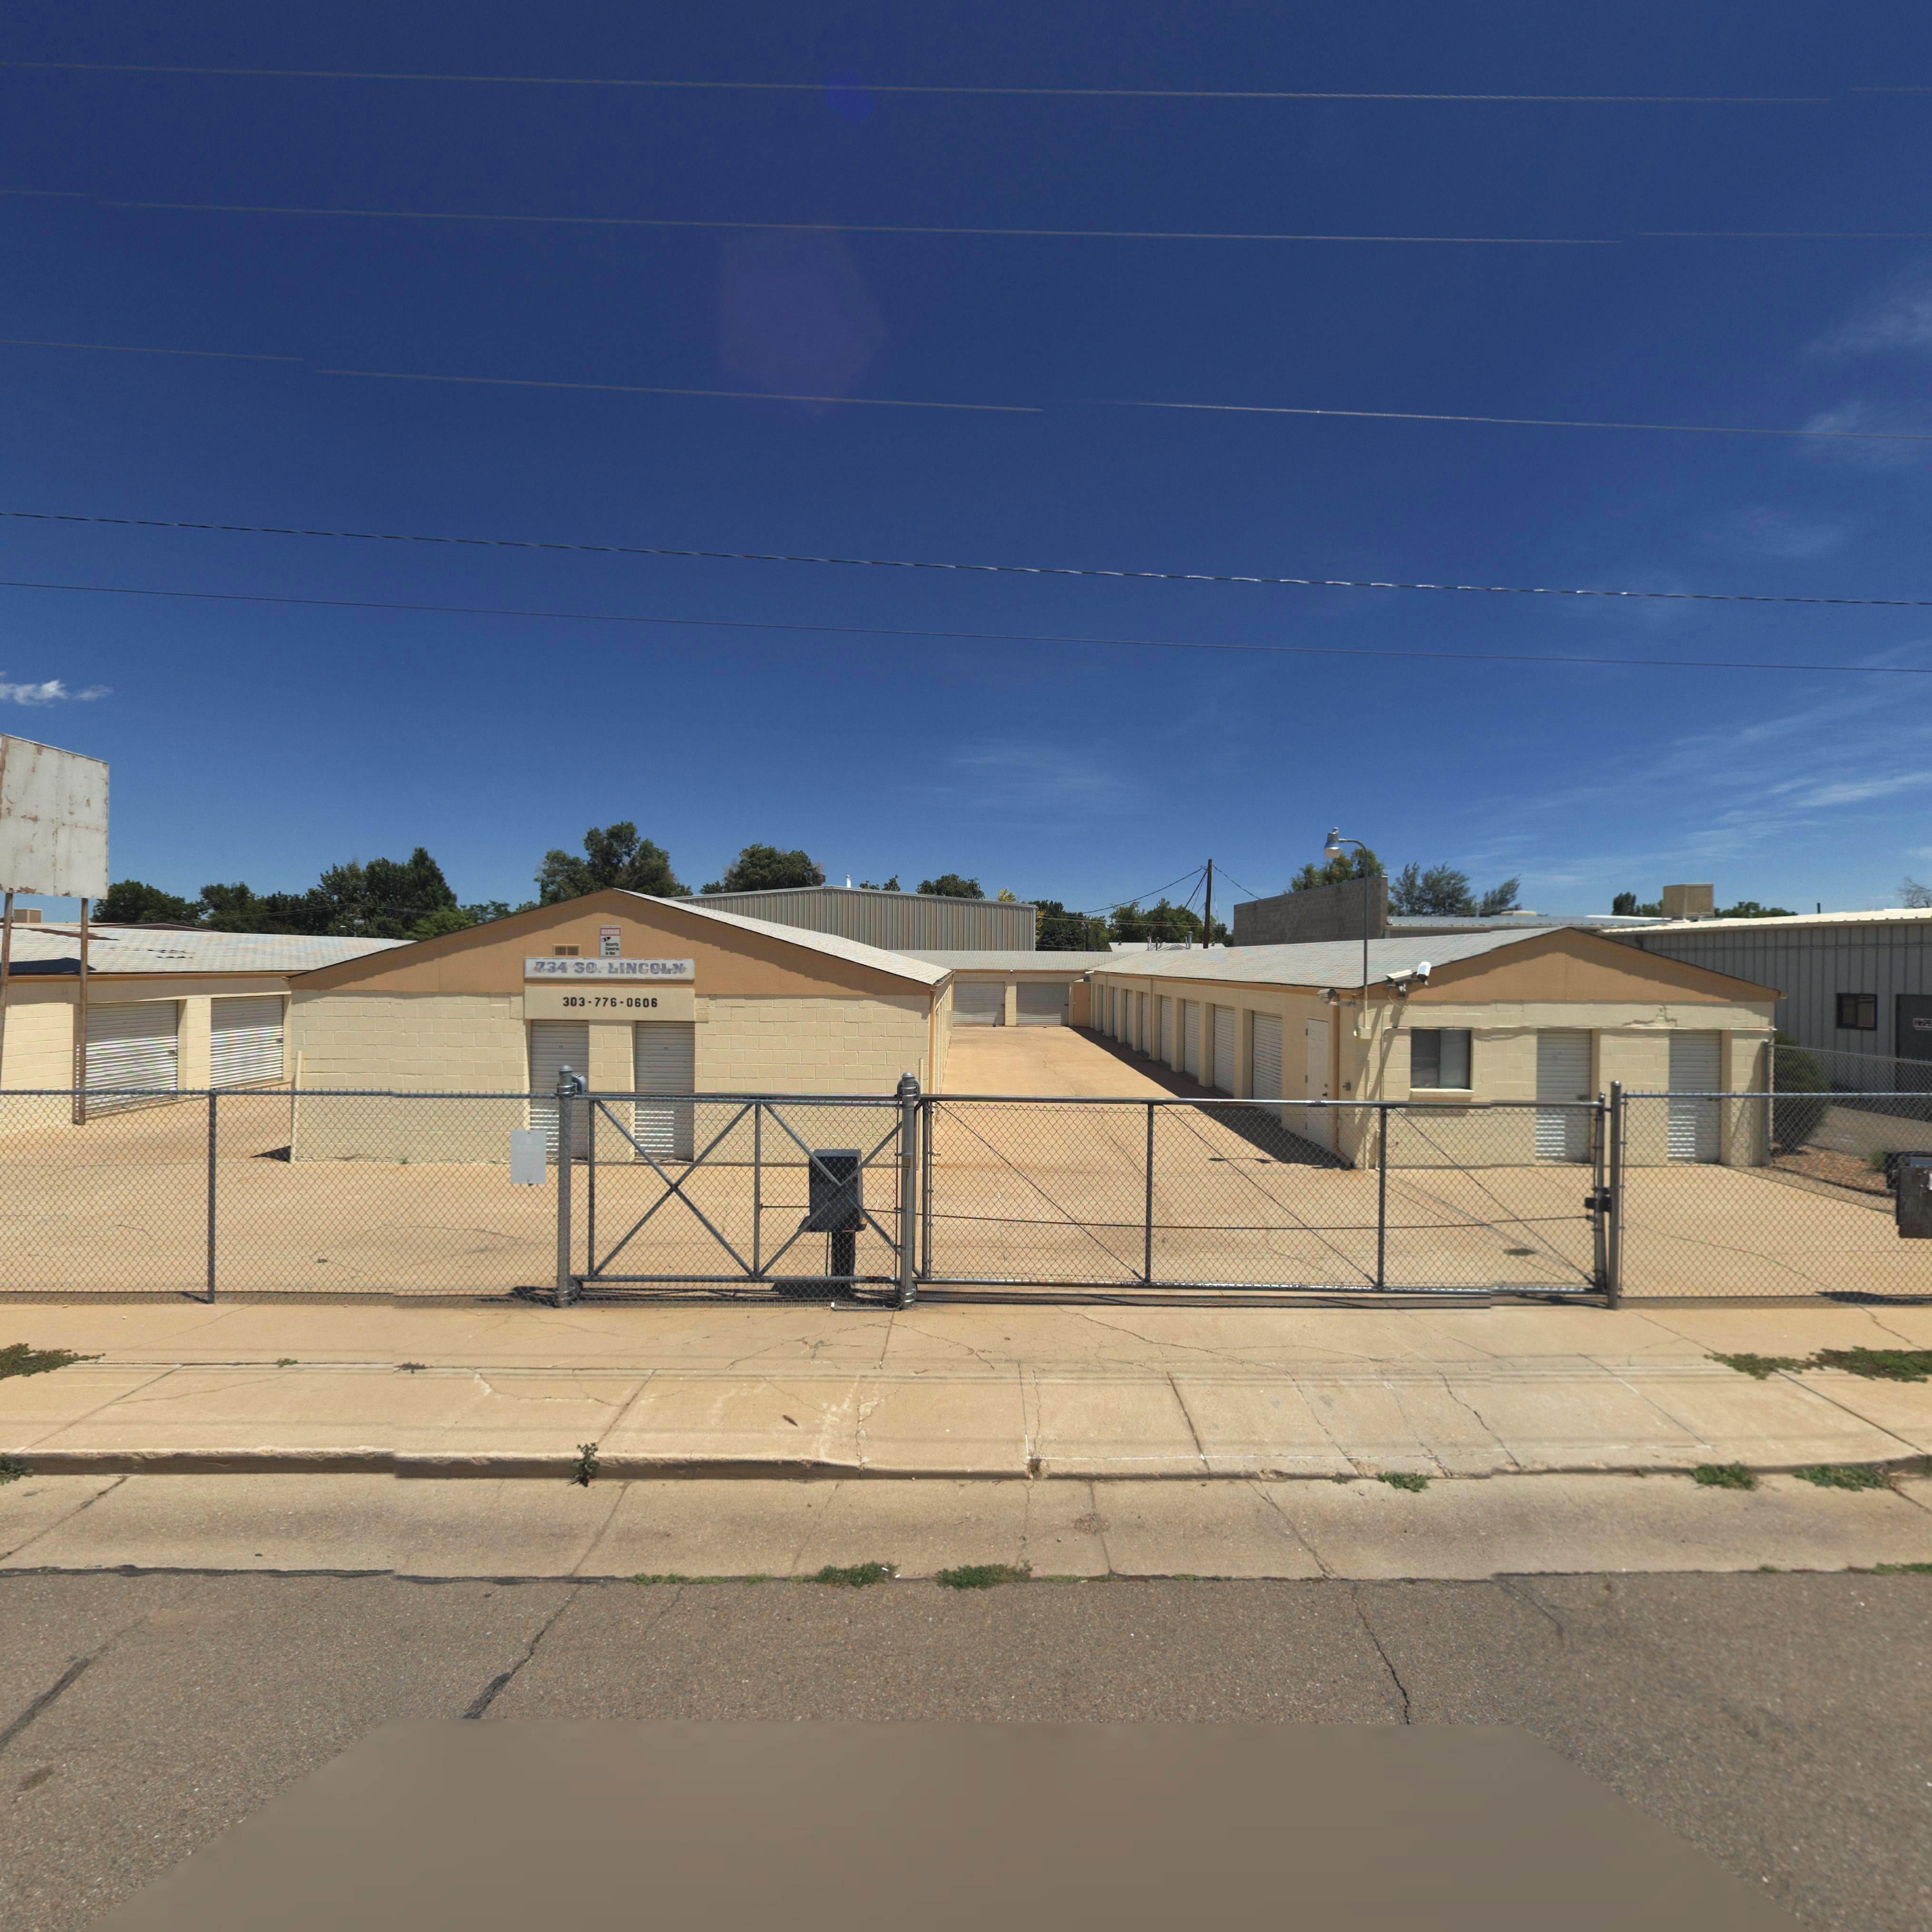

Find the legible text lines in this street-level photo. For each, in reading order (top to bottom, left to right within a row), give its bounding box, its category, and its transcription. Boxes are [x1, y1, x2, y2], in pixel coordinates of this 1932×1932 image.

[535, 960, 568, 974] StreetNumber: 734
[573, 961, 685, 975] StreetName: SO. LINCOLN